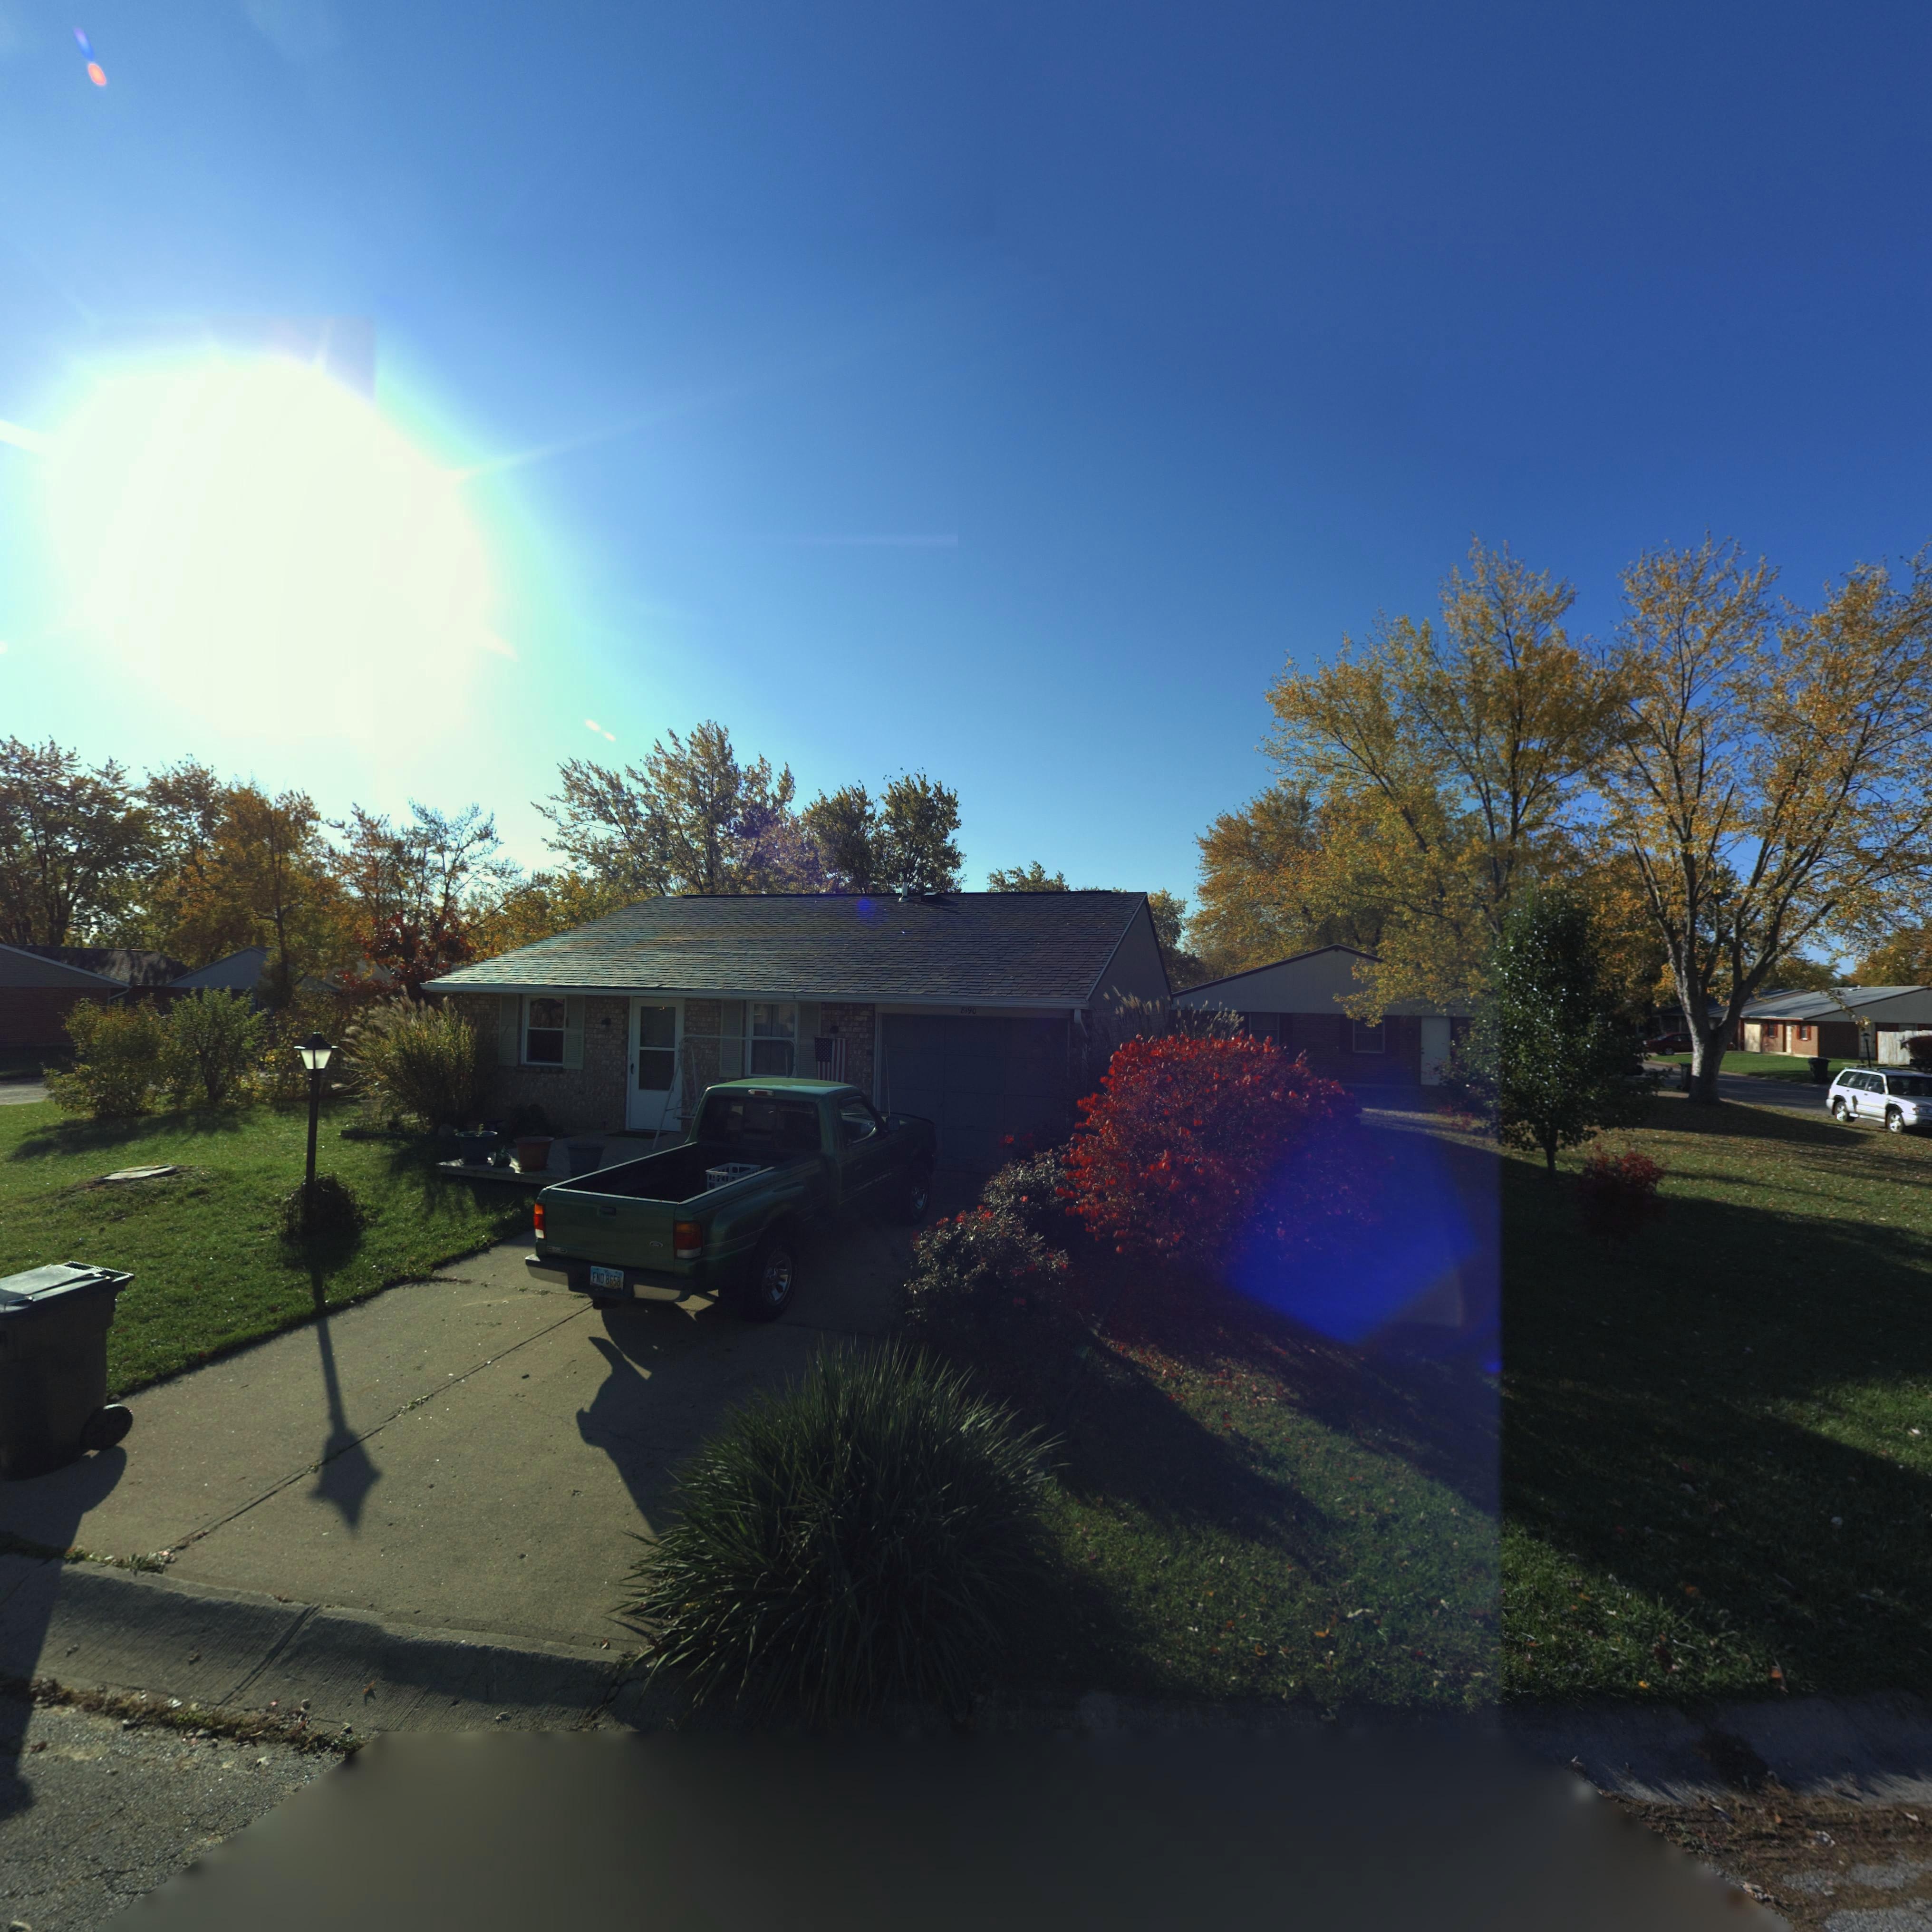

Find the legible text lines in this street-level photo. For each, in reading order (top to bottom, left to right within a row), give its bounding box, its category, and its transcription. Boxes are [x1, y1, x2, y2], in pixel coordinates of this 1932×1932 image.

[960, 1006, 976, 1014] StreetNumber: 8190